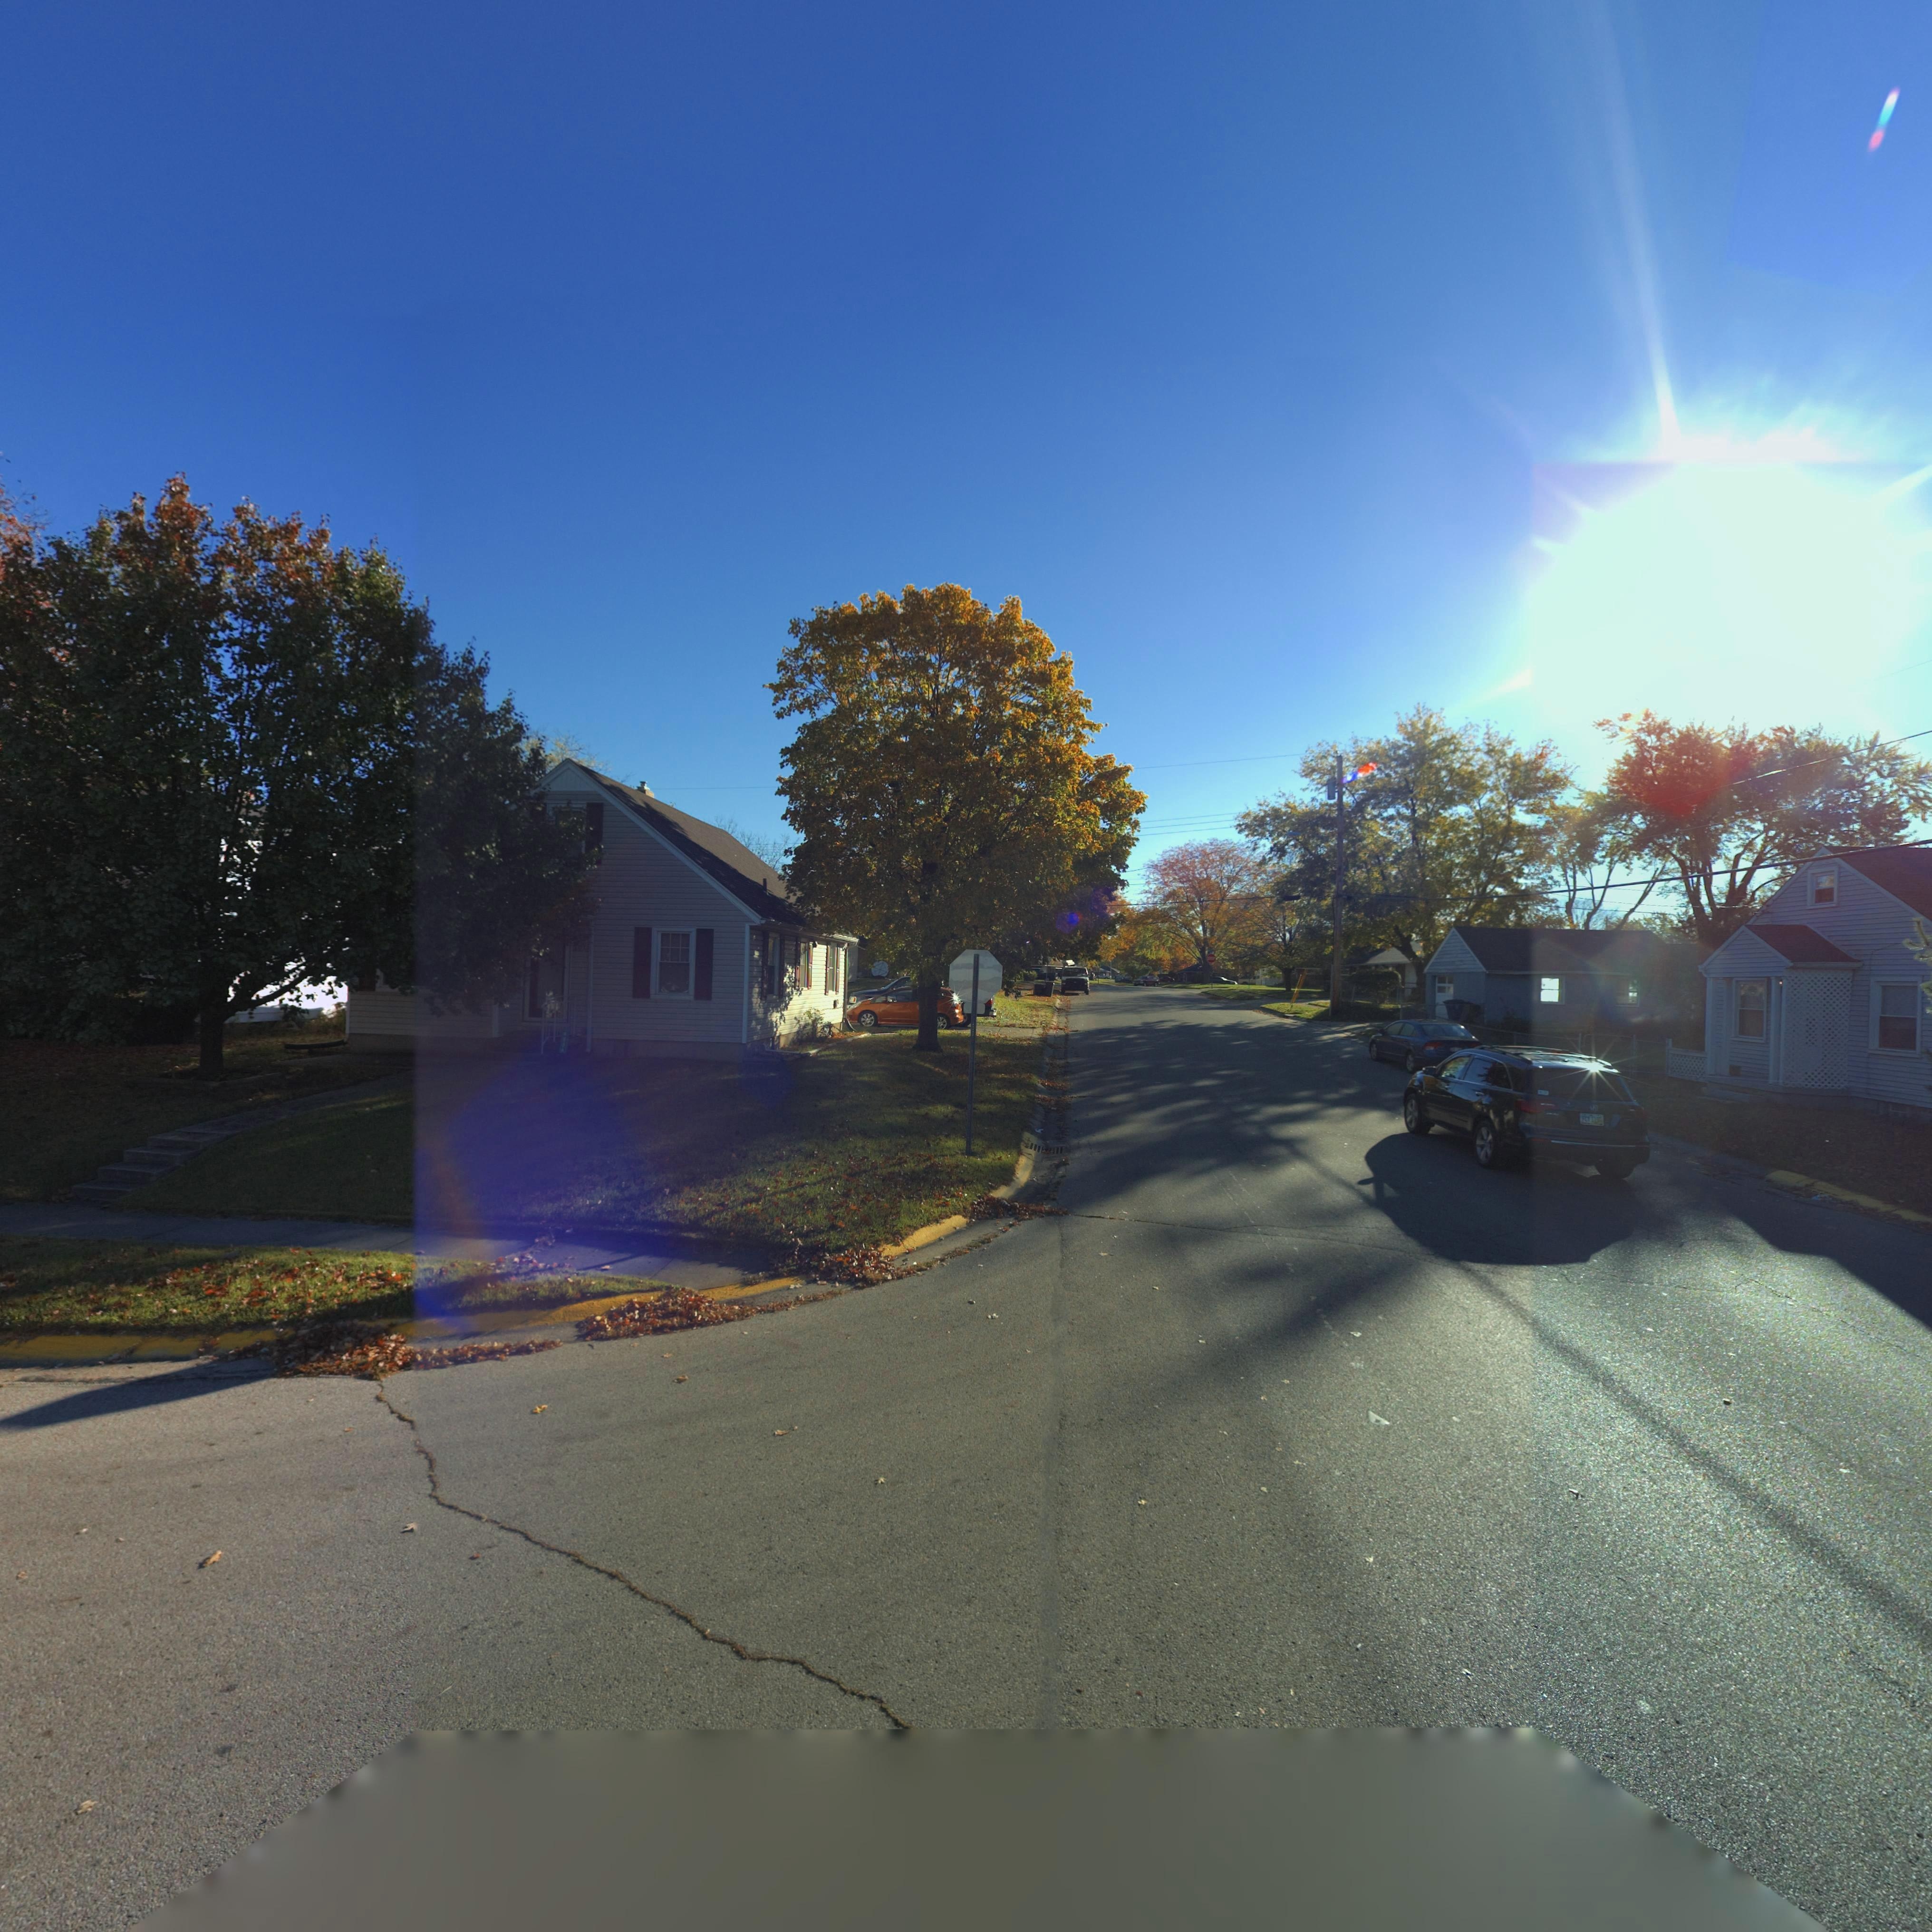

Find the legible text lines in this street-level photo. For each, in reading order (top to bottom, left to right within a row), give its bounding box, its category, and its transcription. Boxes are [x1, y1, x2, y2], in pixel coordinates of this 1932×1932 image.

[560, 1031, 568, 1053] StreetNumber: 4*3*